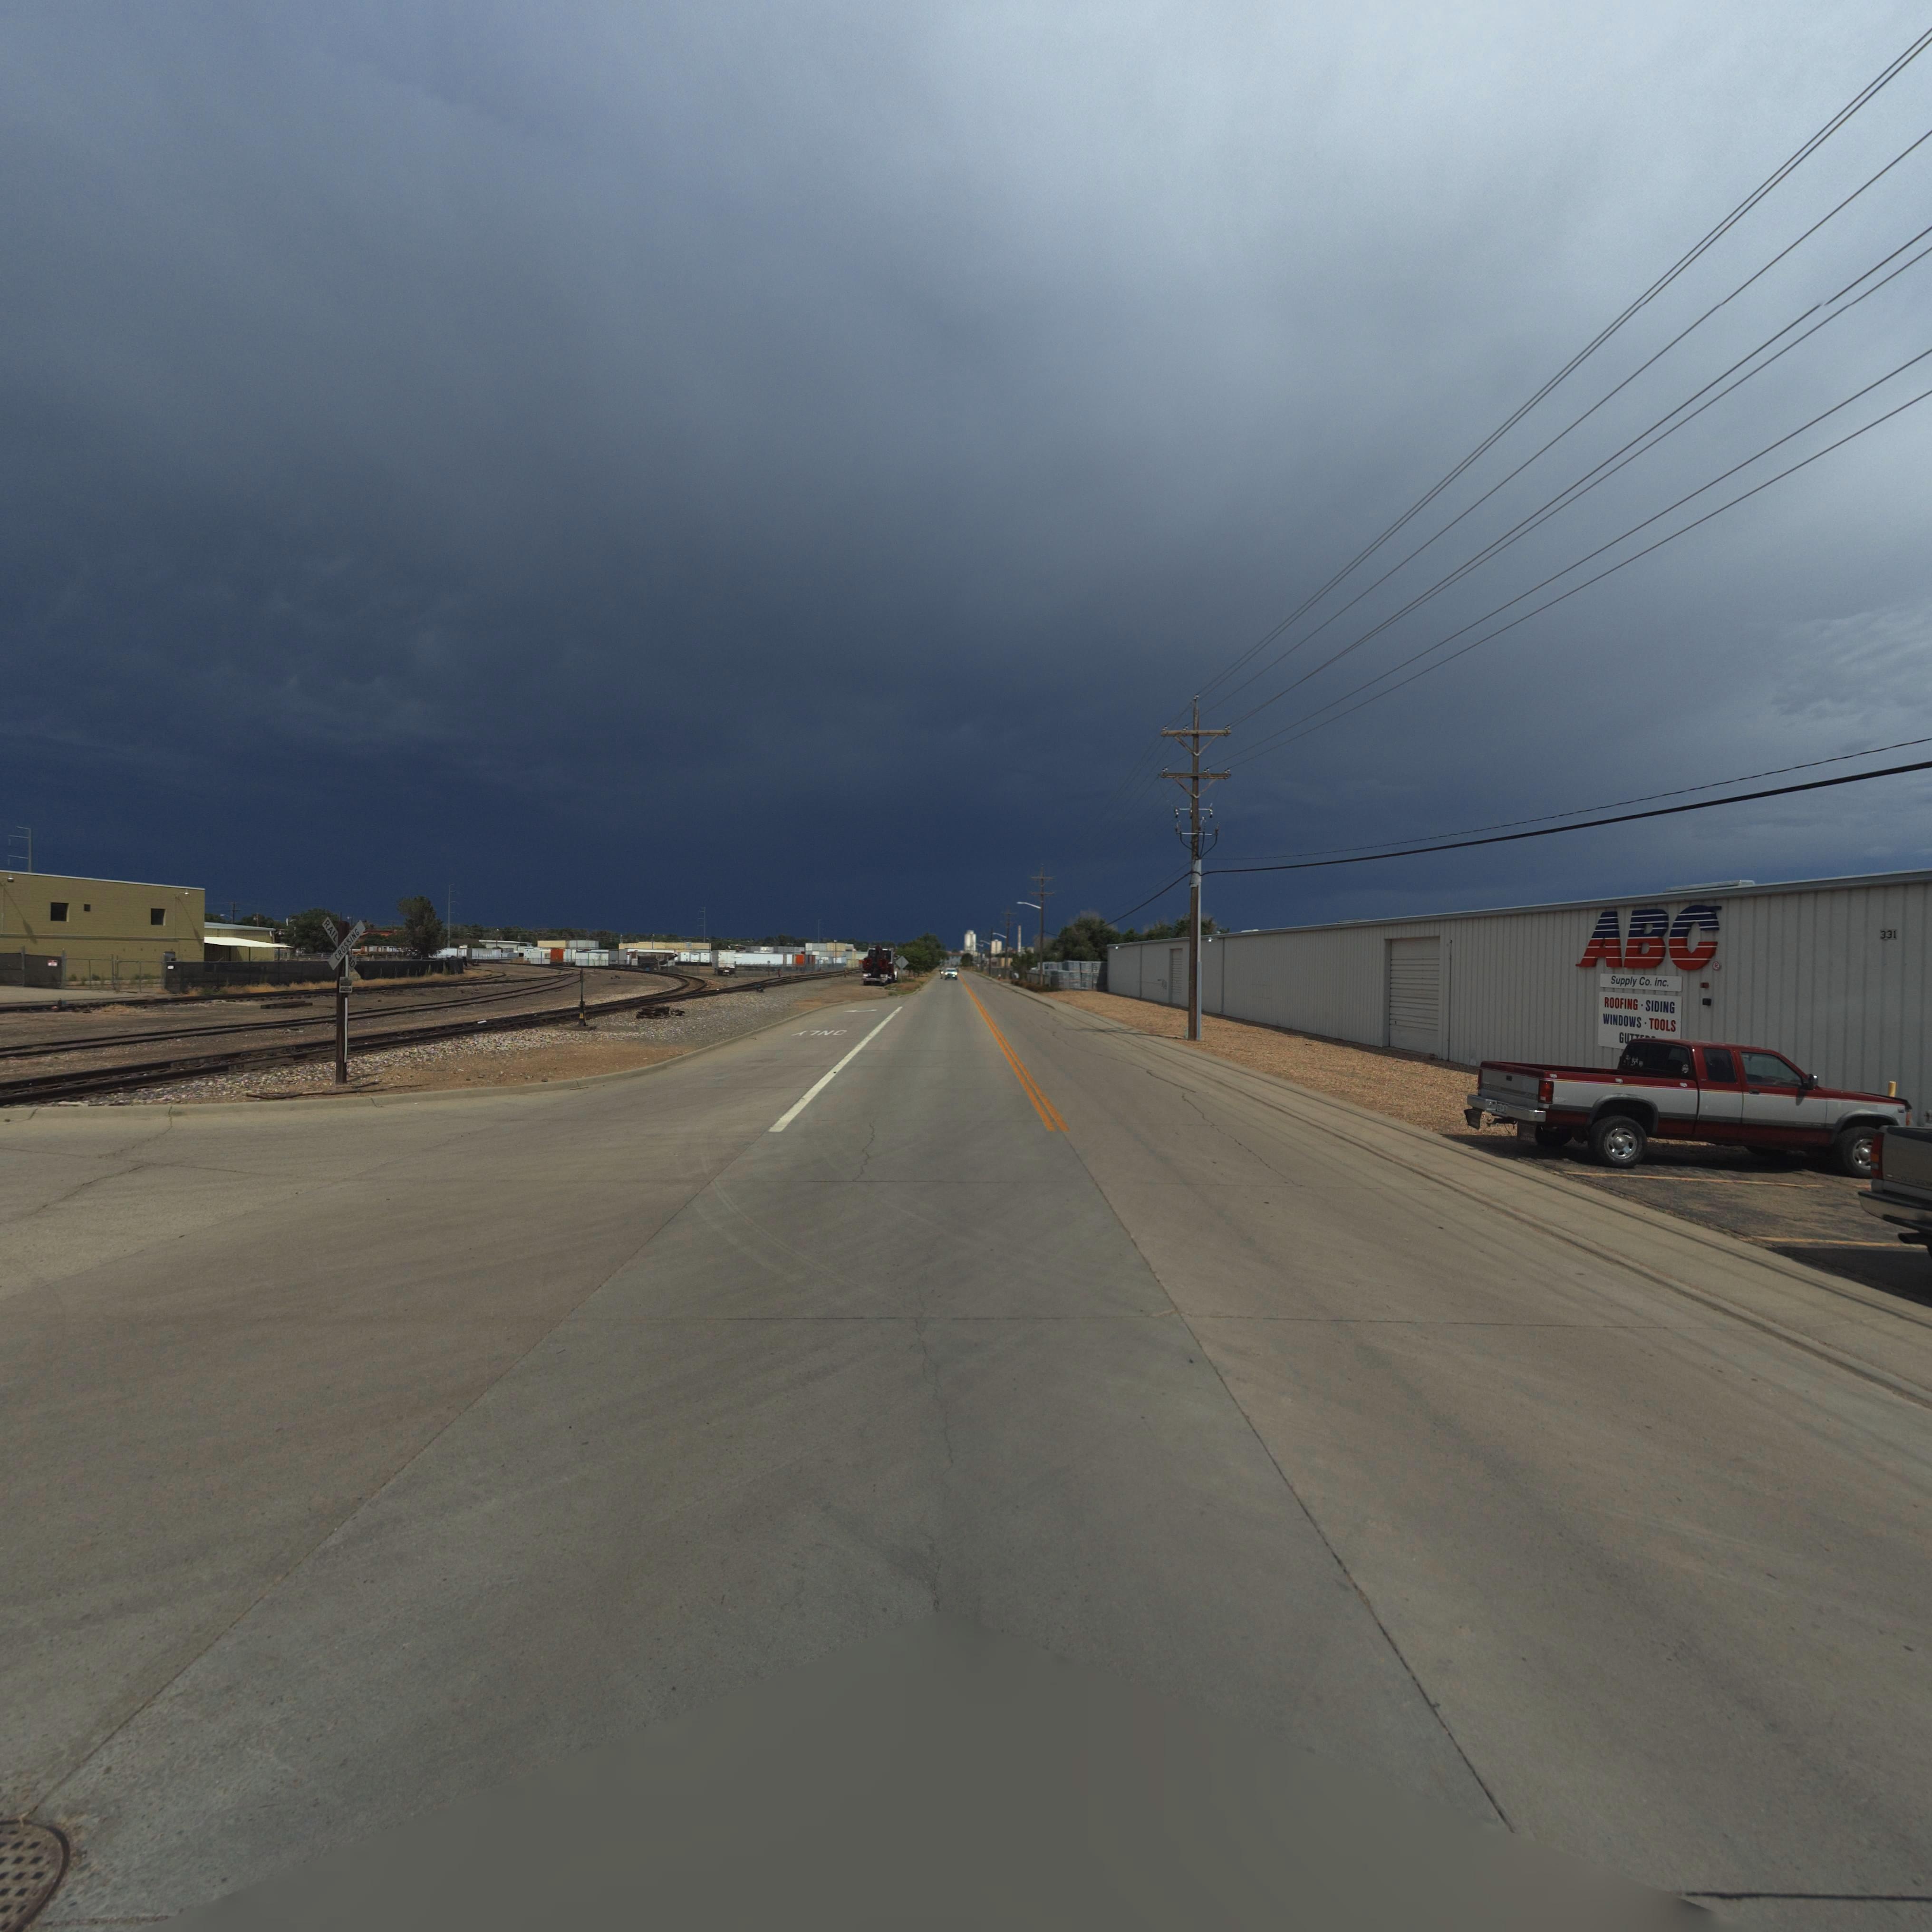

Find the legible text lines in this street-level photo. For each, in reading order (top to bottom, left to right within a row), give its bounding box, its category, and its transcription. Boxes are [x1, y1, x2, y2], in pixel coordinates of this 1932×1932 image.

[1573, 903, 1720, 972] BusinessName: ABC
[1610, 975, 1669, 987] BusinessName: Supply Co. inc.